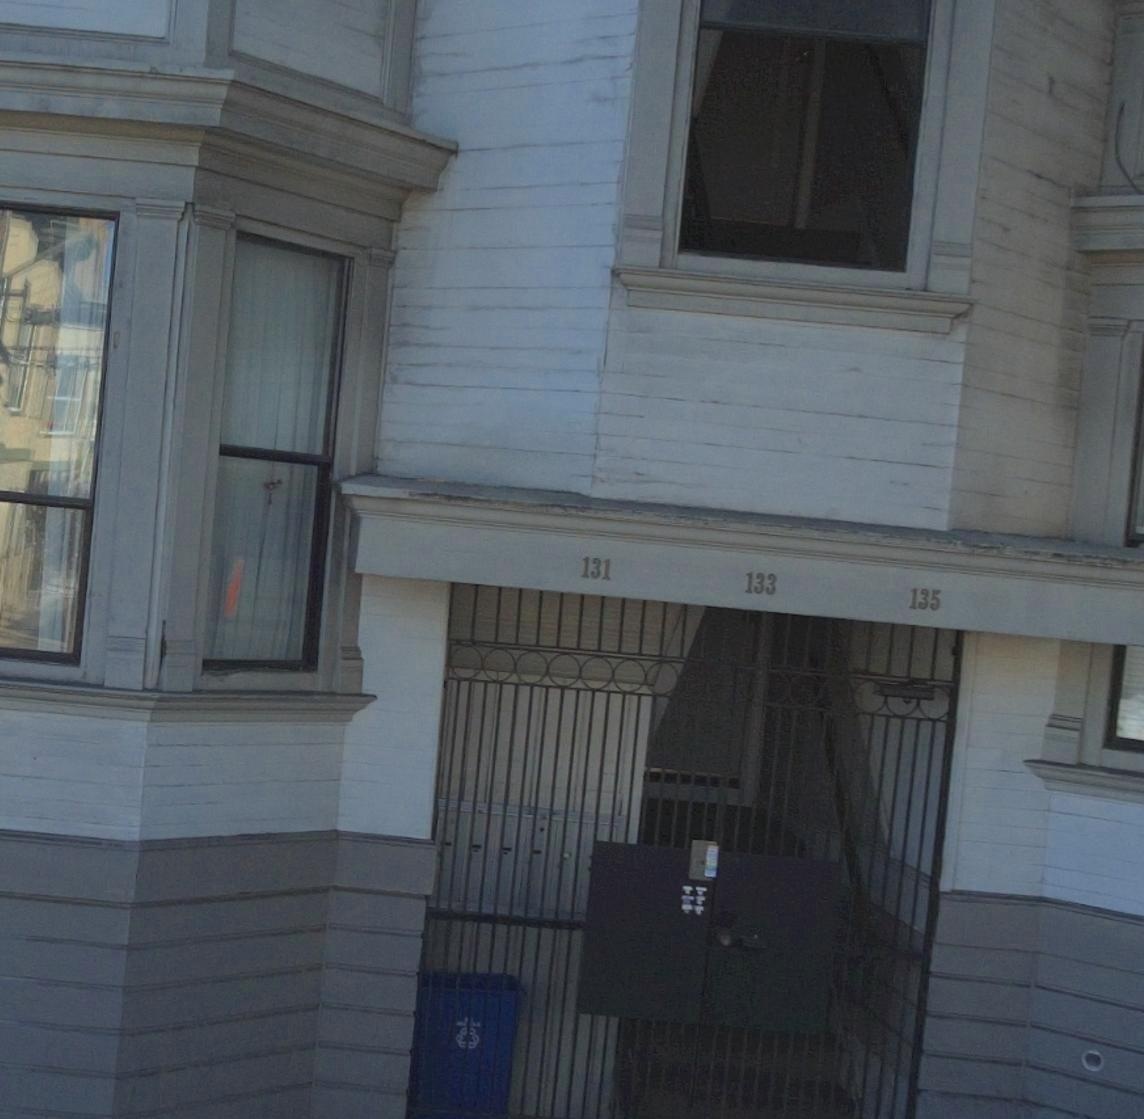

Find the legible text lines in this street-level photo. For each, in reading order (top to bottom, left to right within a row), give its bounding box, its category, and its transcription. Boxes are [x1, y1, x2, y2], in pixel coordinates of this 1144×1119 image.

[579, 554, 614, 582] StreetNumber: 131
[742, 569, 780, 597] StreetNumber: 133
[908, 586, 944, 612] StreetNumber: 135